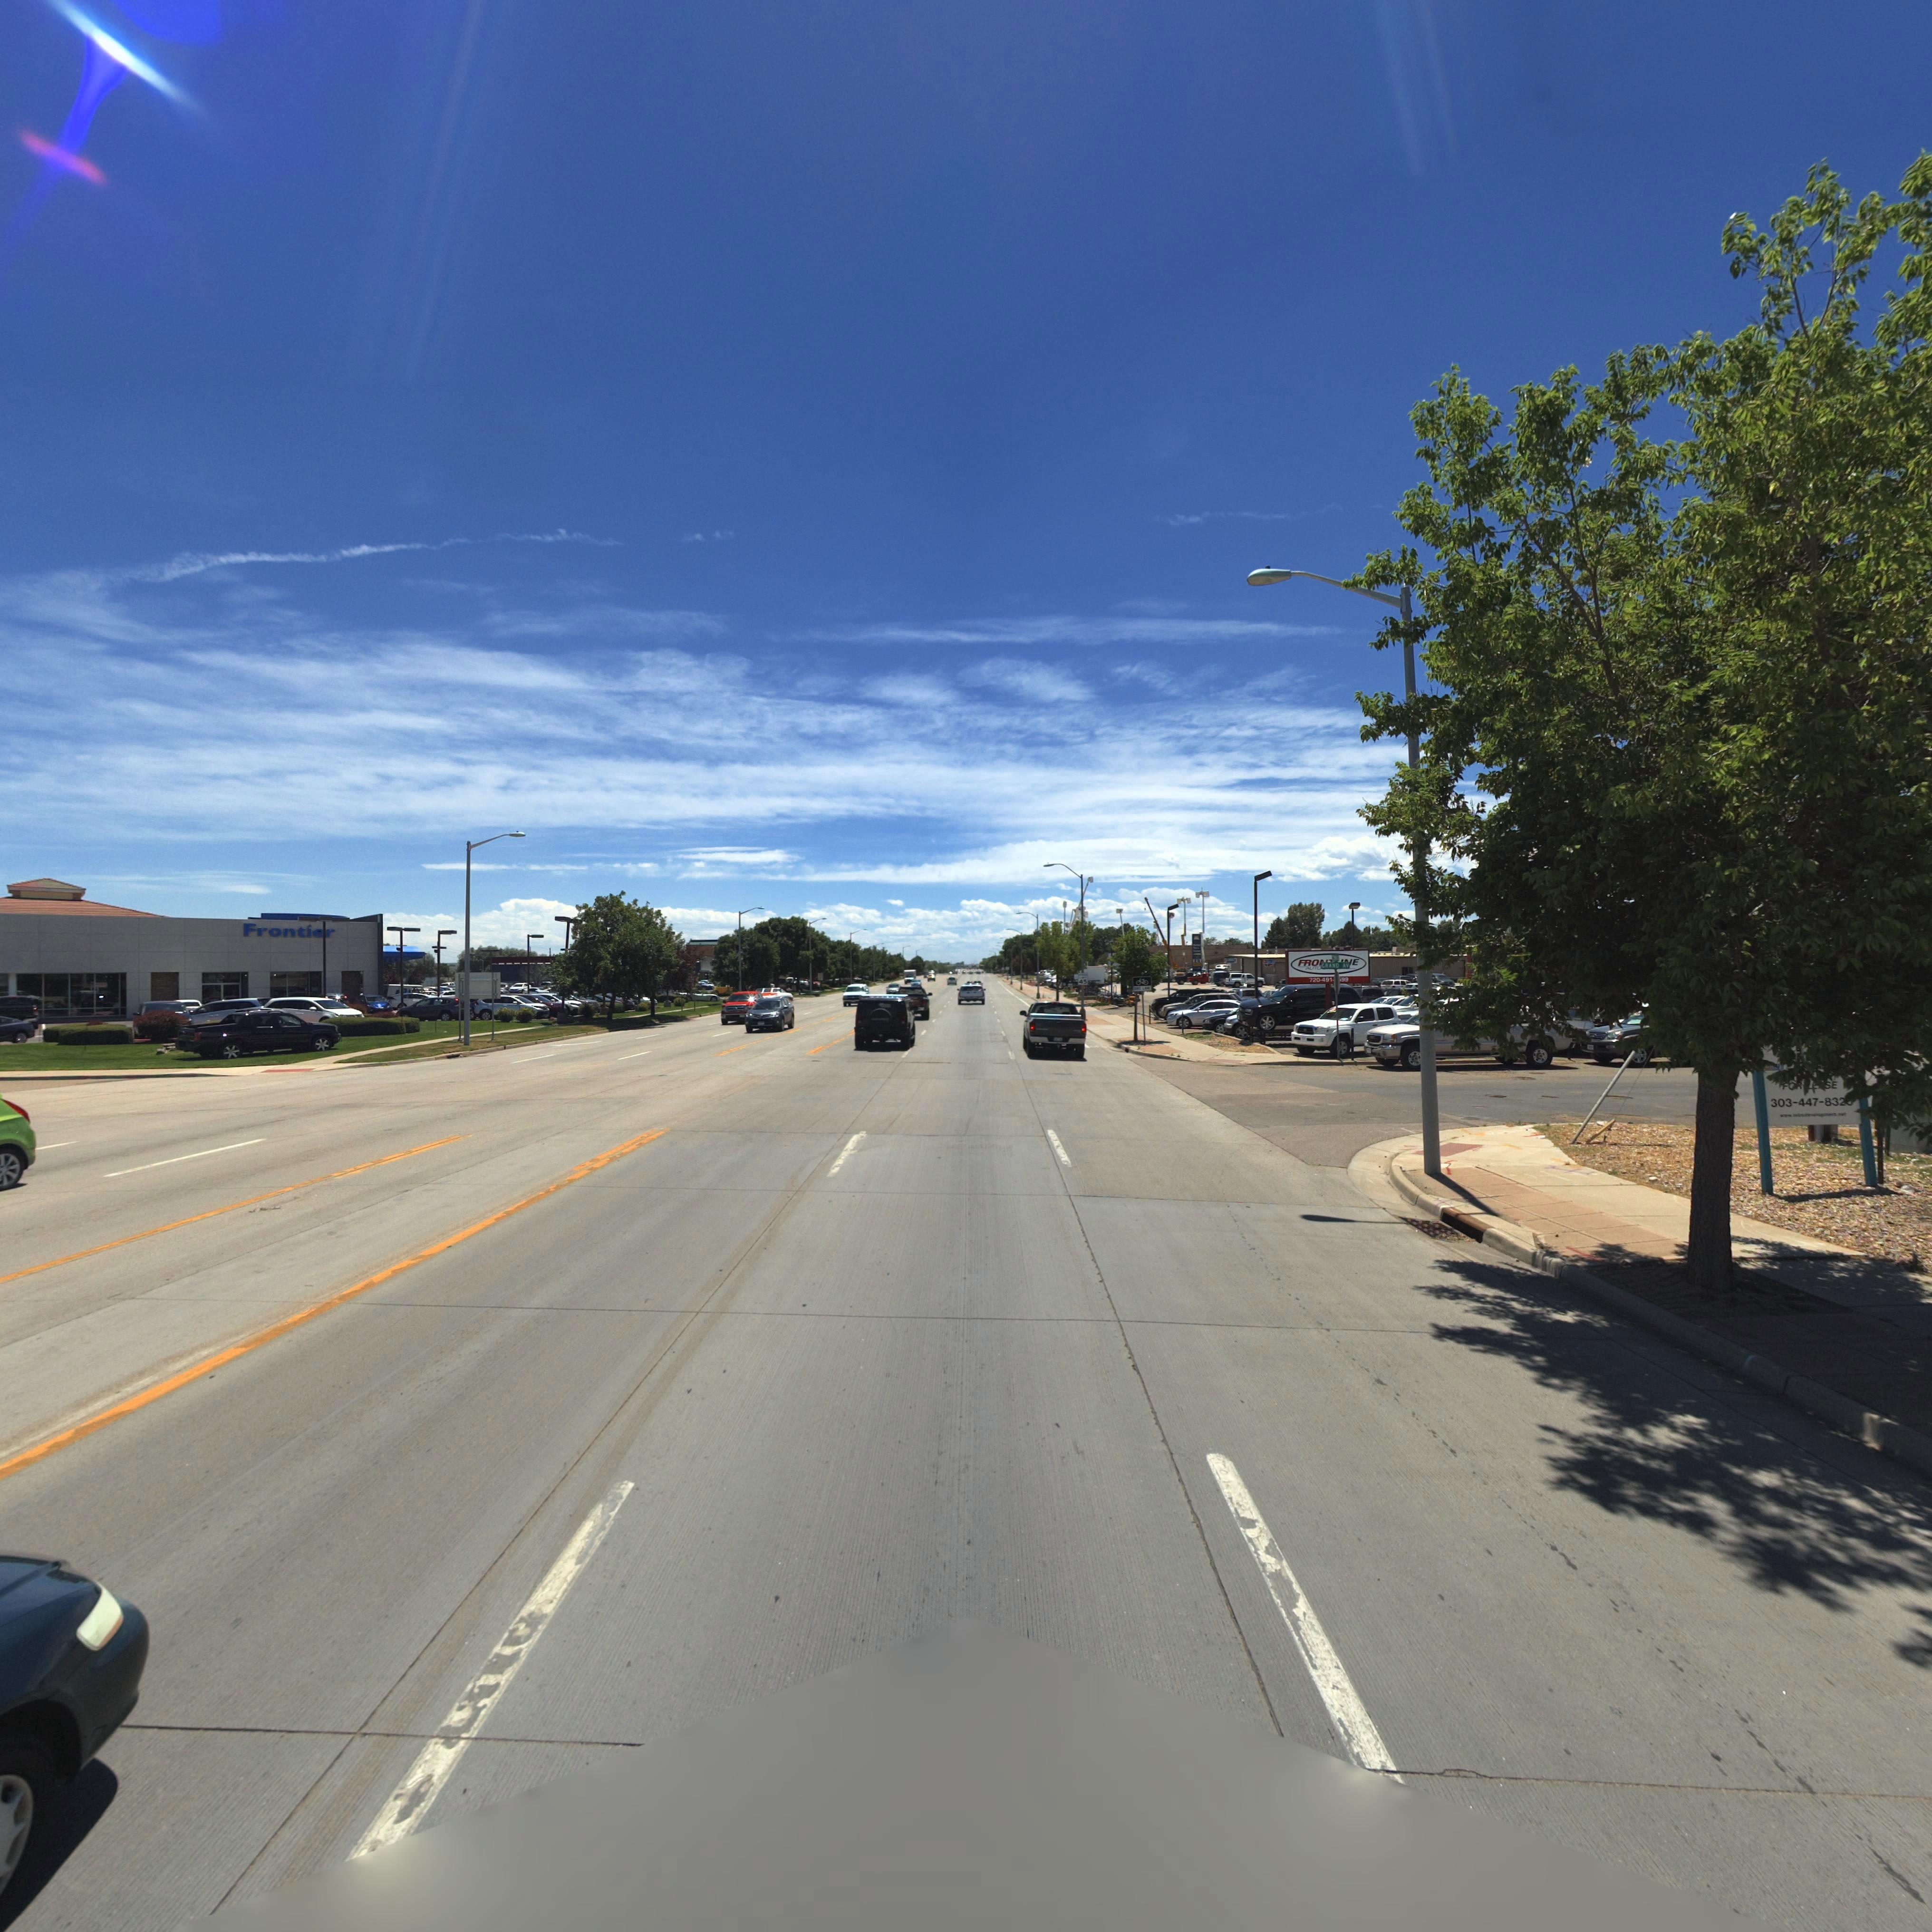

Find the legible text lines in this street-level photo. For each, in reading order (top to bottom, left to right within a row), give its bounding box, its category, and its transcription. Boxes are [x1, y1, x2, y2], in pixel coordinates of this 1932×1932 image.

[241, 922, 337, 937] BusinessName: Frontier
[1304, 966, 1320, 970] BusinessName: AL**L
[1297, 958, 1360, 966] BusinessName: FRO*****E
[1322, 962, 1349, 968] StreetName: GRAND AV